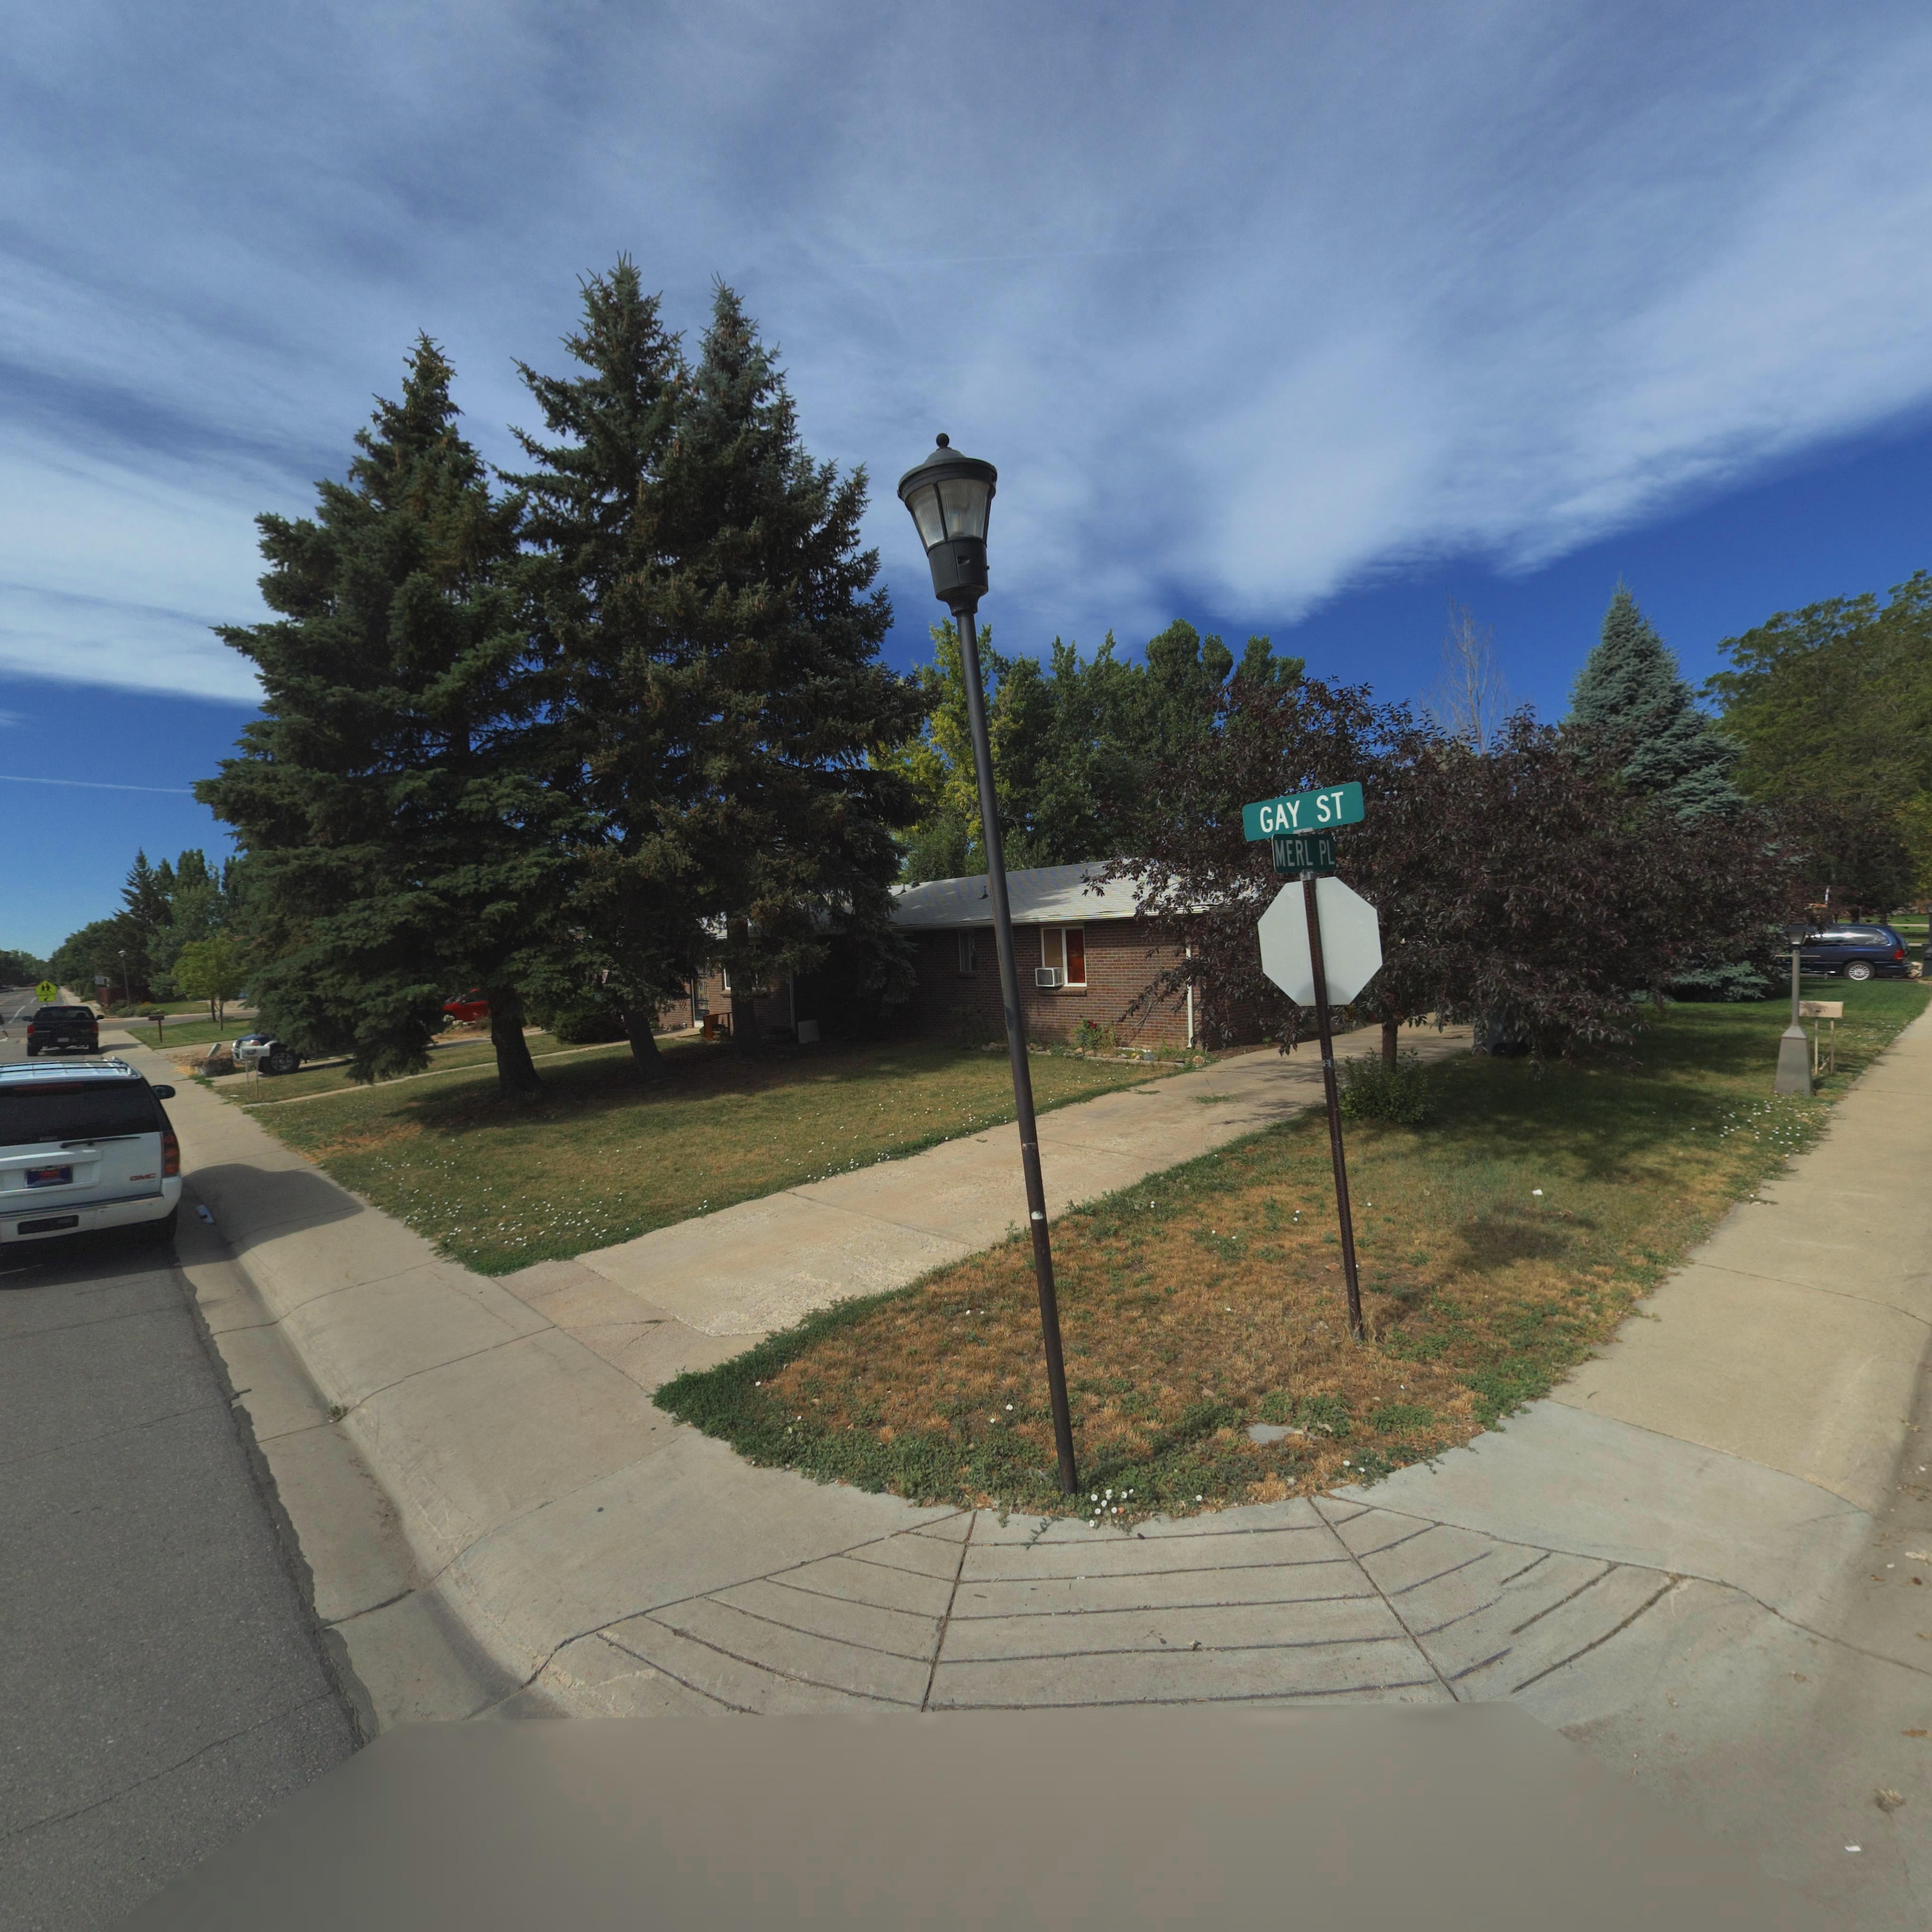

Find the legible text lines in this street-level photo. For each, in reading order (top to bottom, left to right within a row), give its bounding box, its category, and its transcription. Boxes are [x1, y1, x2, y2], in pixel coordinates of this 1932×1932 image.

[1257, 791, 1347, 833] StreetName: GAY ST
[1275, 840, 1334, 866] StreetName: MERL PI